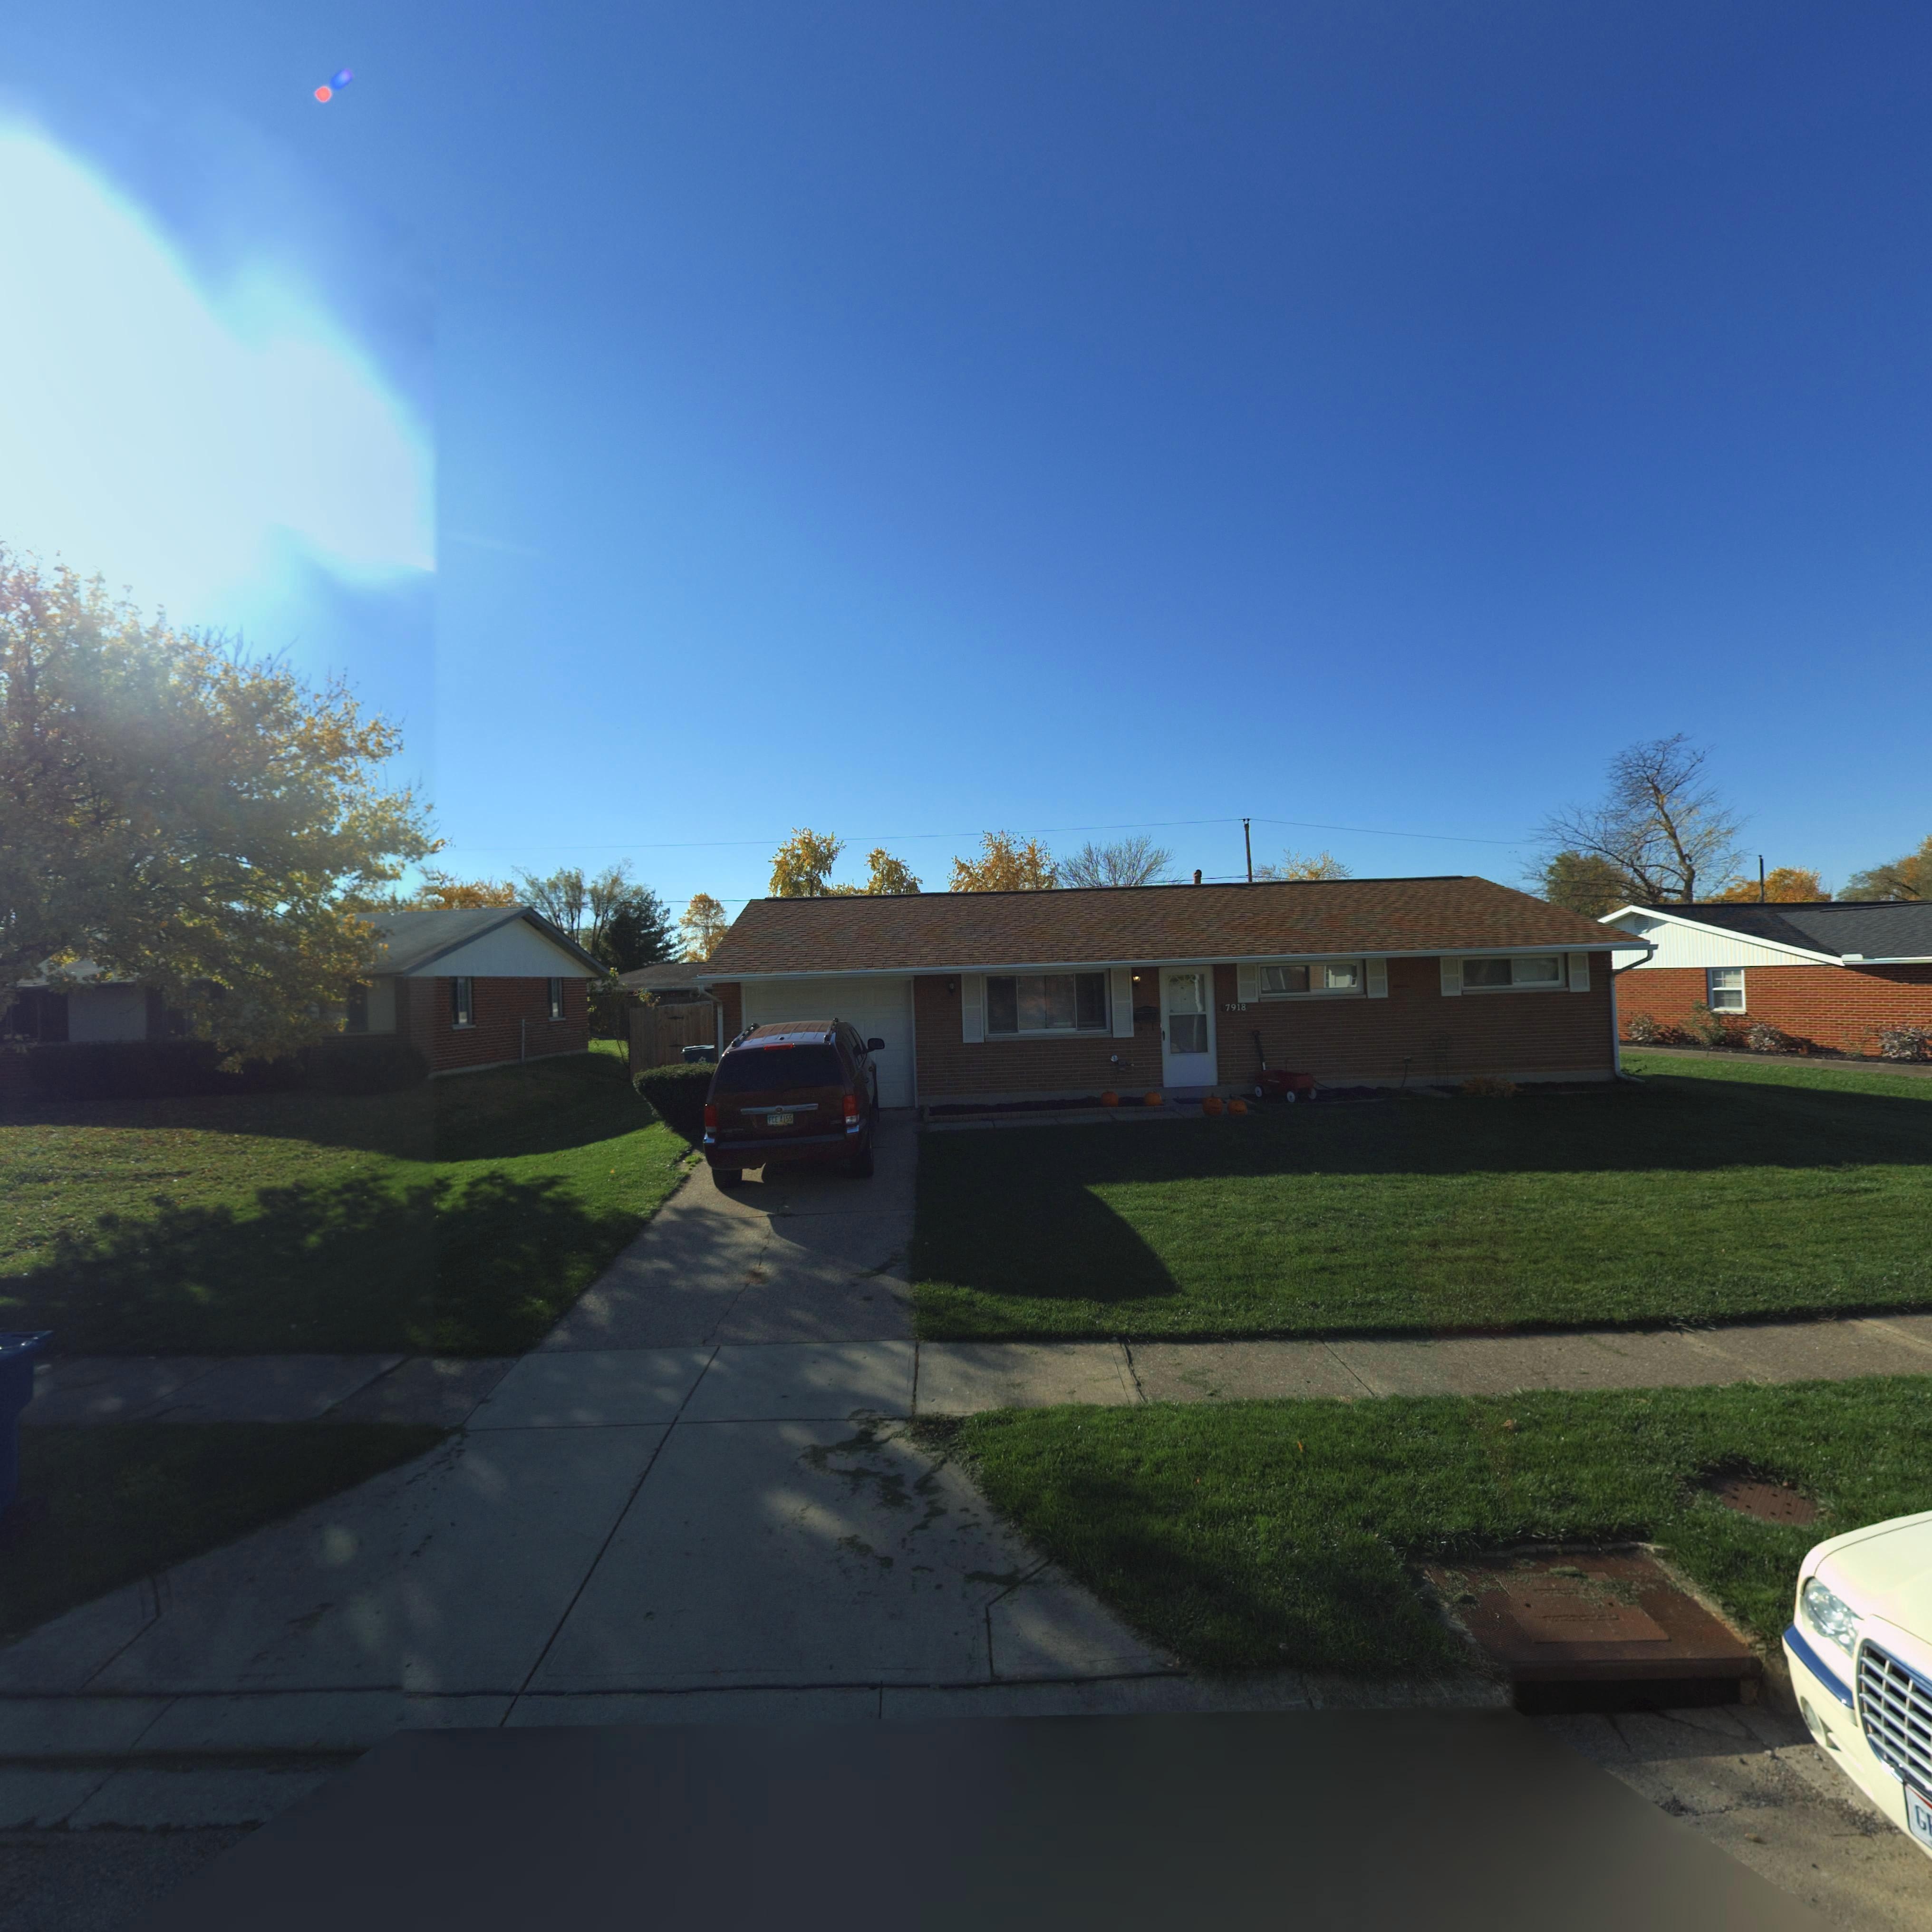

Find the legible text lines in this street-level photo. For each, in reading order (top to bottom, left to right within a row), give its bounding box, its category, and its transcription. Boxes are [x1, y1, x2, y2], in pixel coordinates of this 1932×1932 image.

[1224, 1003, 1247, 1013] StreetNumber: 7918